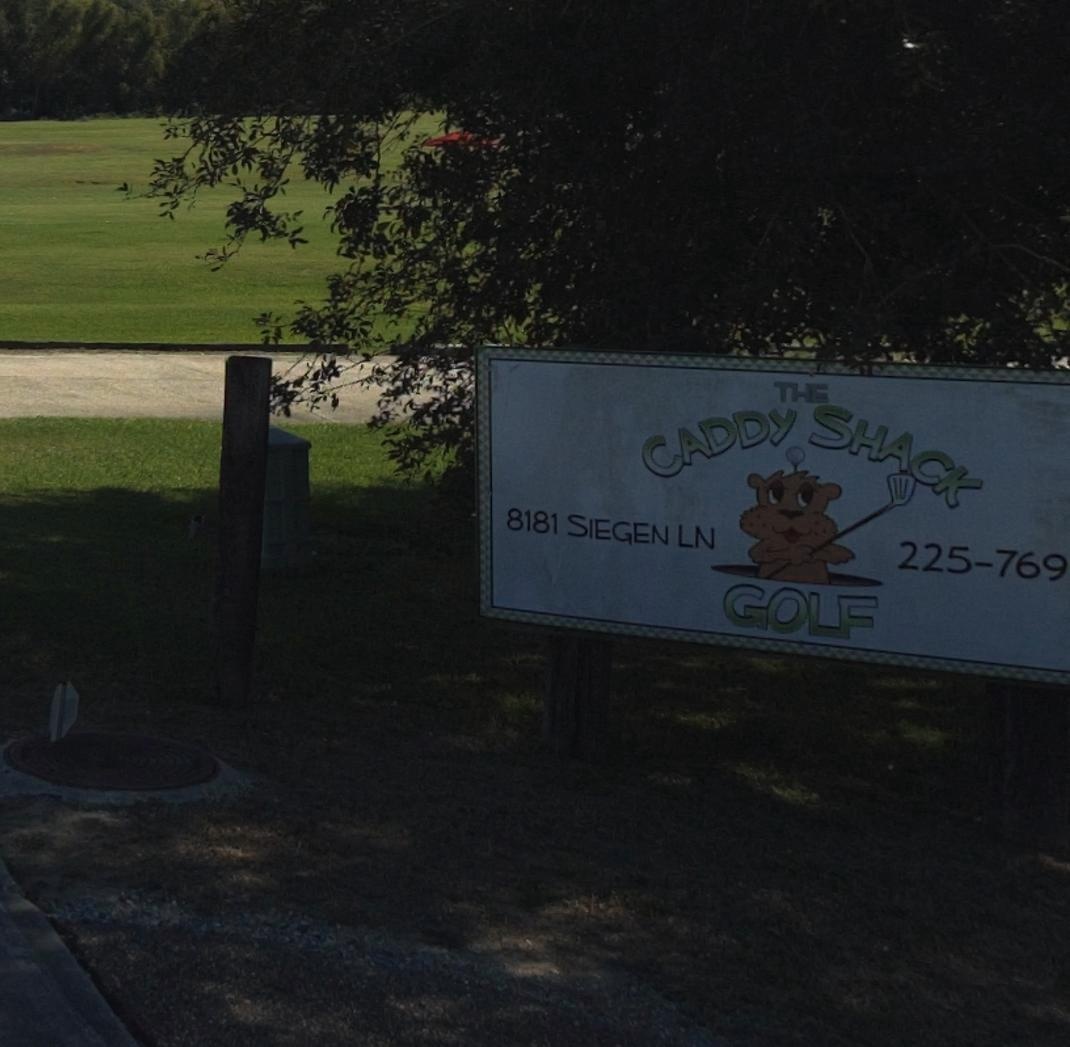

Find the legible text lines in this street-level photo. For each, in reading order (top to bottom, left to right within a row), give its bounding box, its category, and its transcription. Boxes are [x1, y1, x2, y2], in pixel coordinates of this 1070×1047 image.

[773, 379, 829, 405] BusinessName: THE
[624, 404, 988, 510] BusinessName: CADDY SHACK
[507, 507, 559, 536] StreetNumber: 8181
[564, 510, 717, 551] StreetName: SIEGEN LN
[895, 539, 1069, 586] None: 225-769
[721, 581, 879, 644] None: GOLF